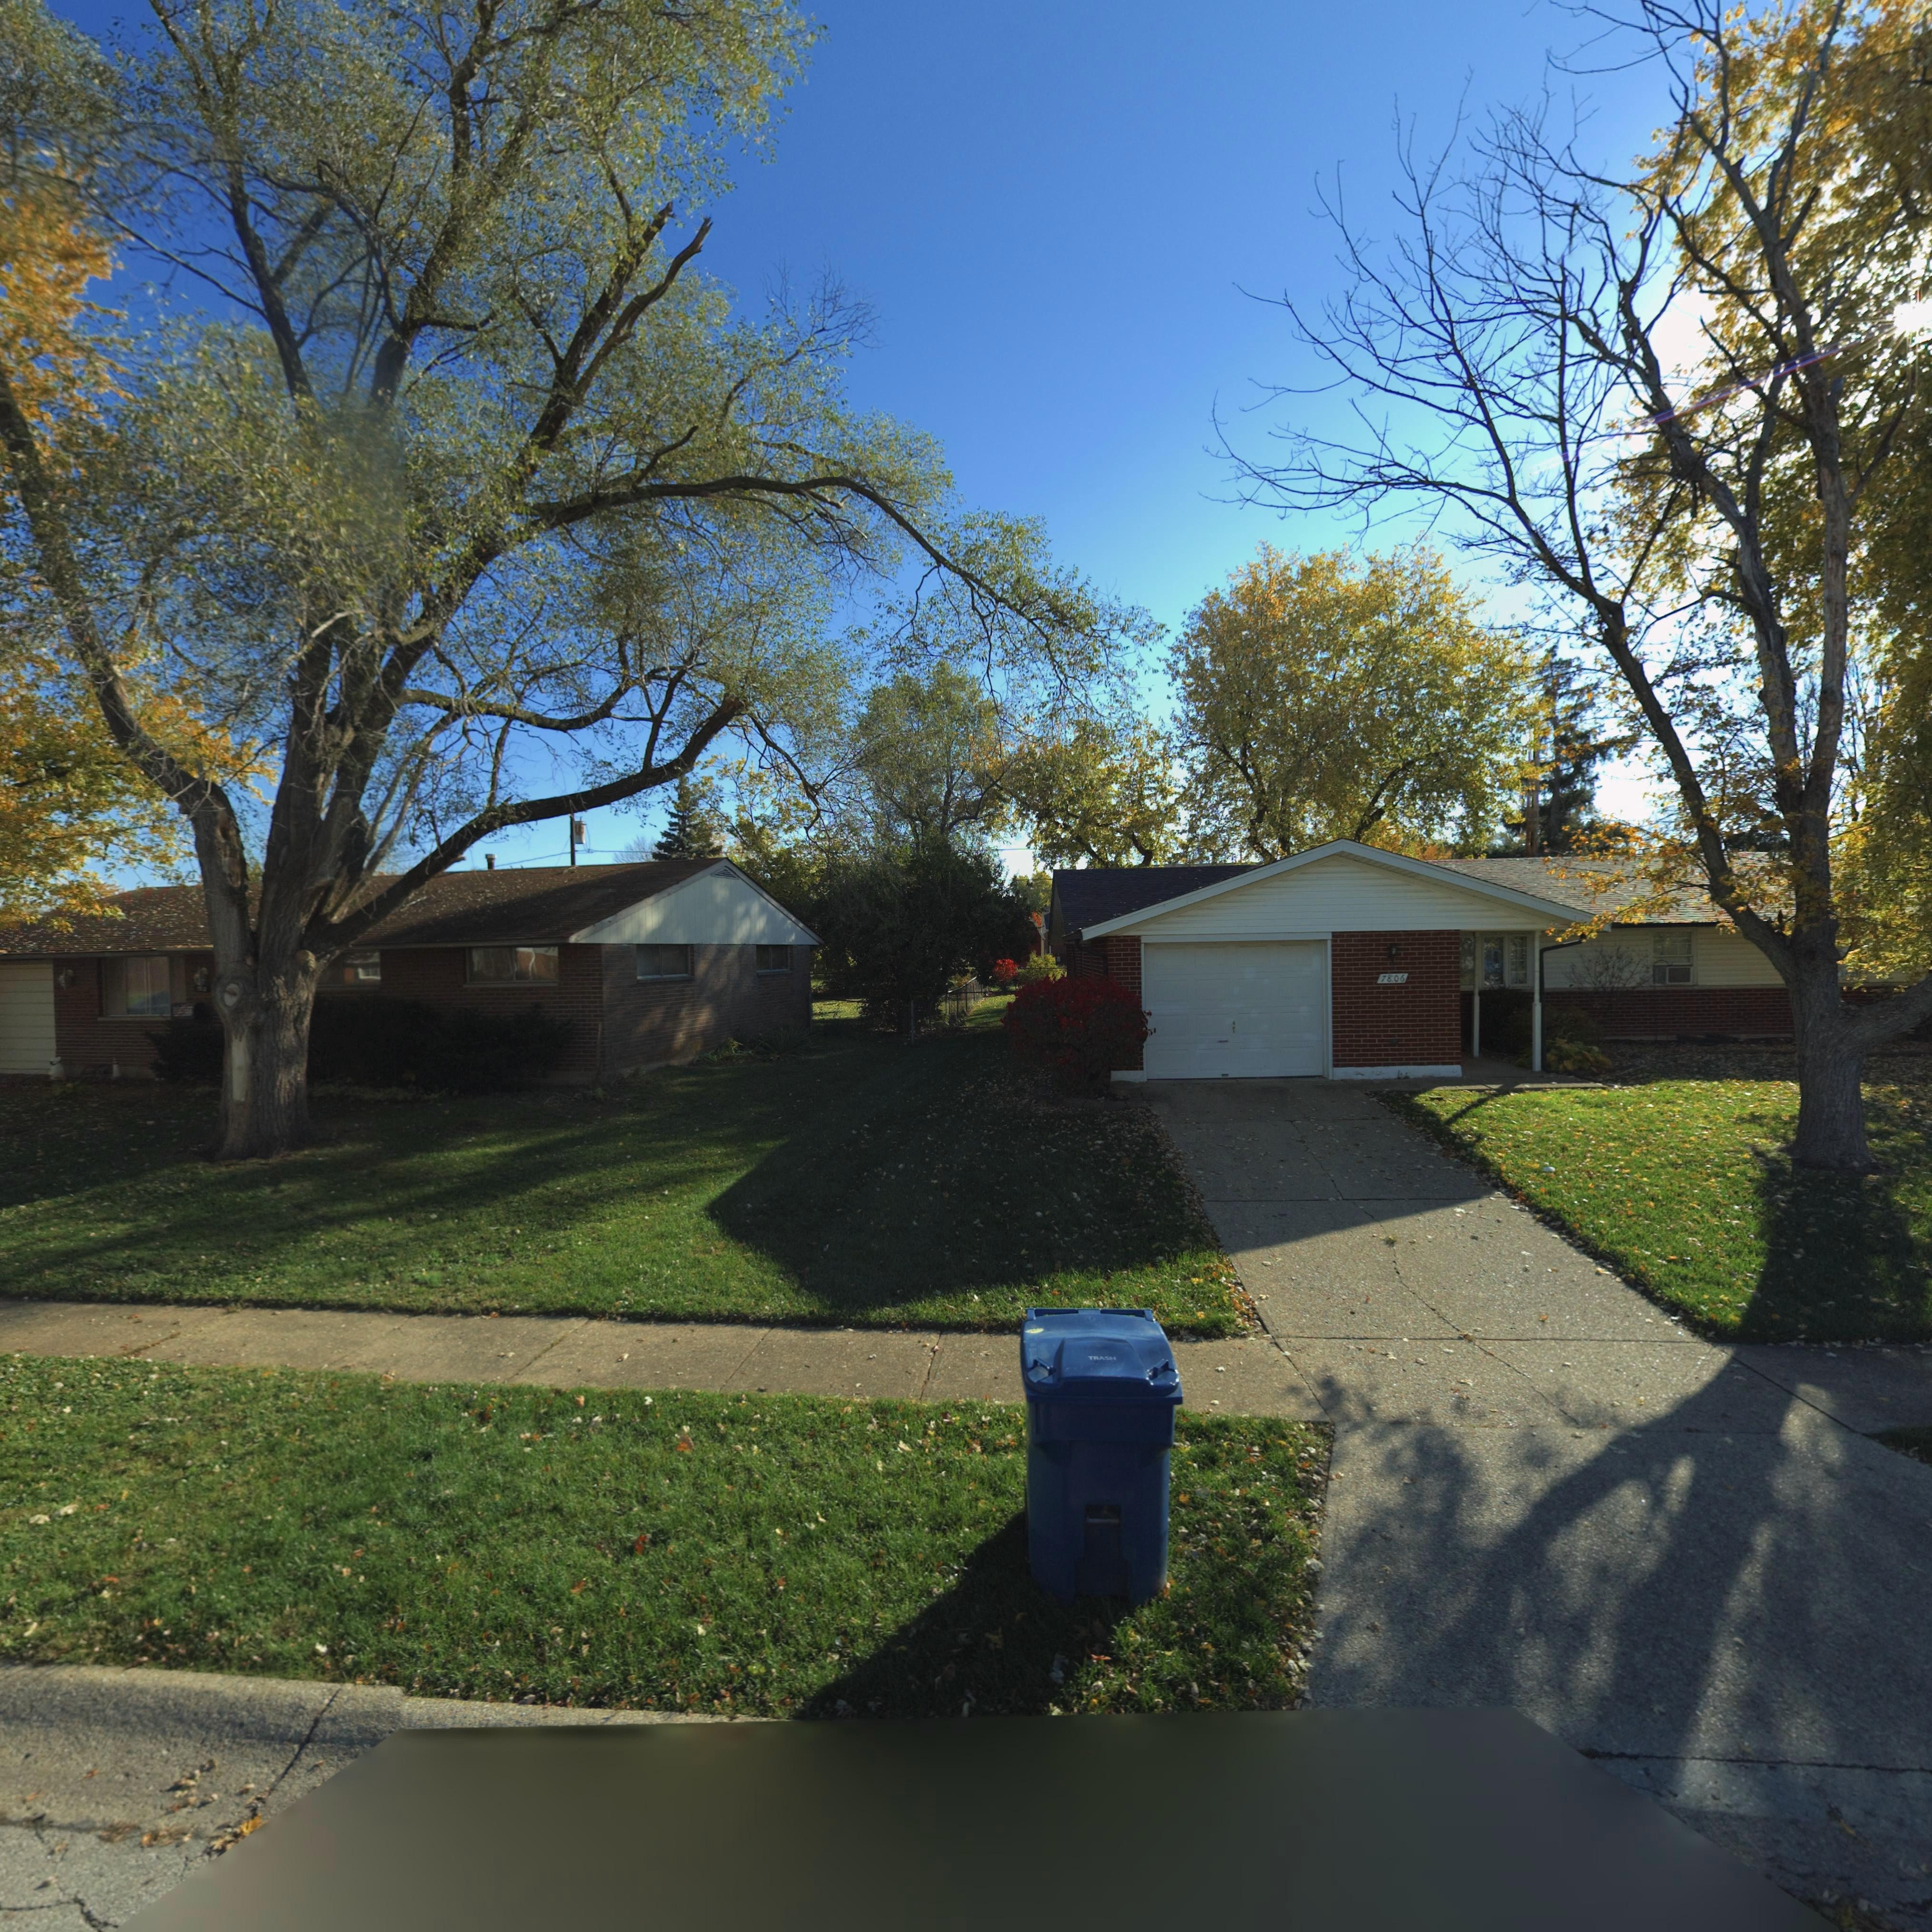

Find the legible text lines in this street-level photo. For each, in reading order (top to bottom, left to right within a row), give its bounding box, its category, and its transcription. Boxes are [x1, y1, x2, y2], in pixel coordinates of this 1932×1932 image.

[1380, 974, 1405, 983] StreetNumber: 7806